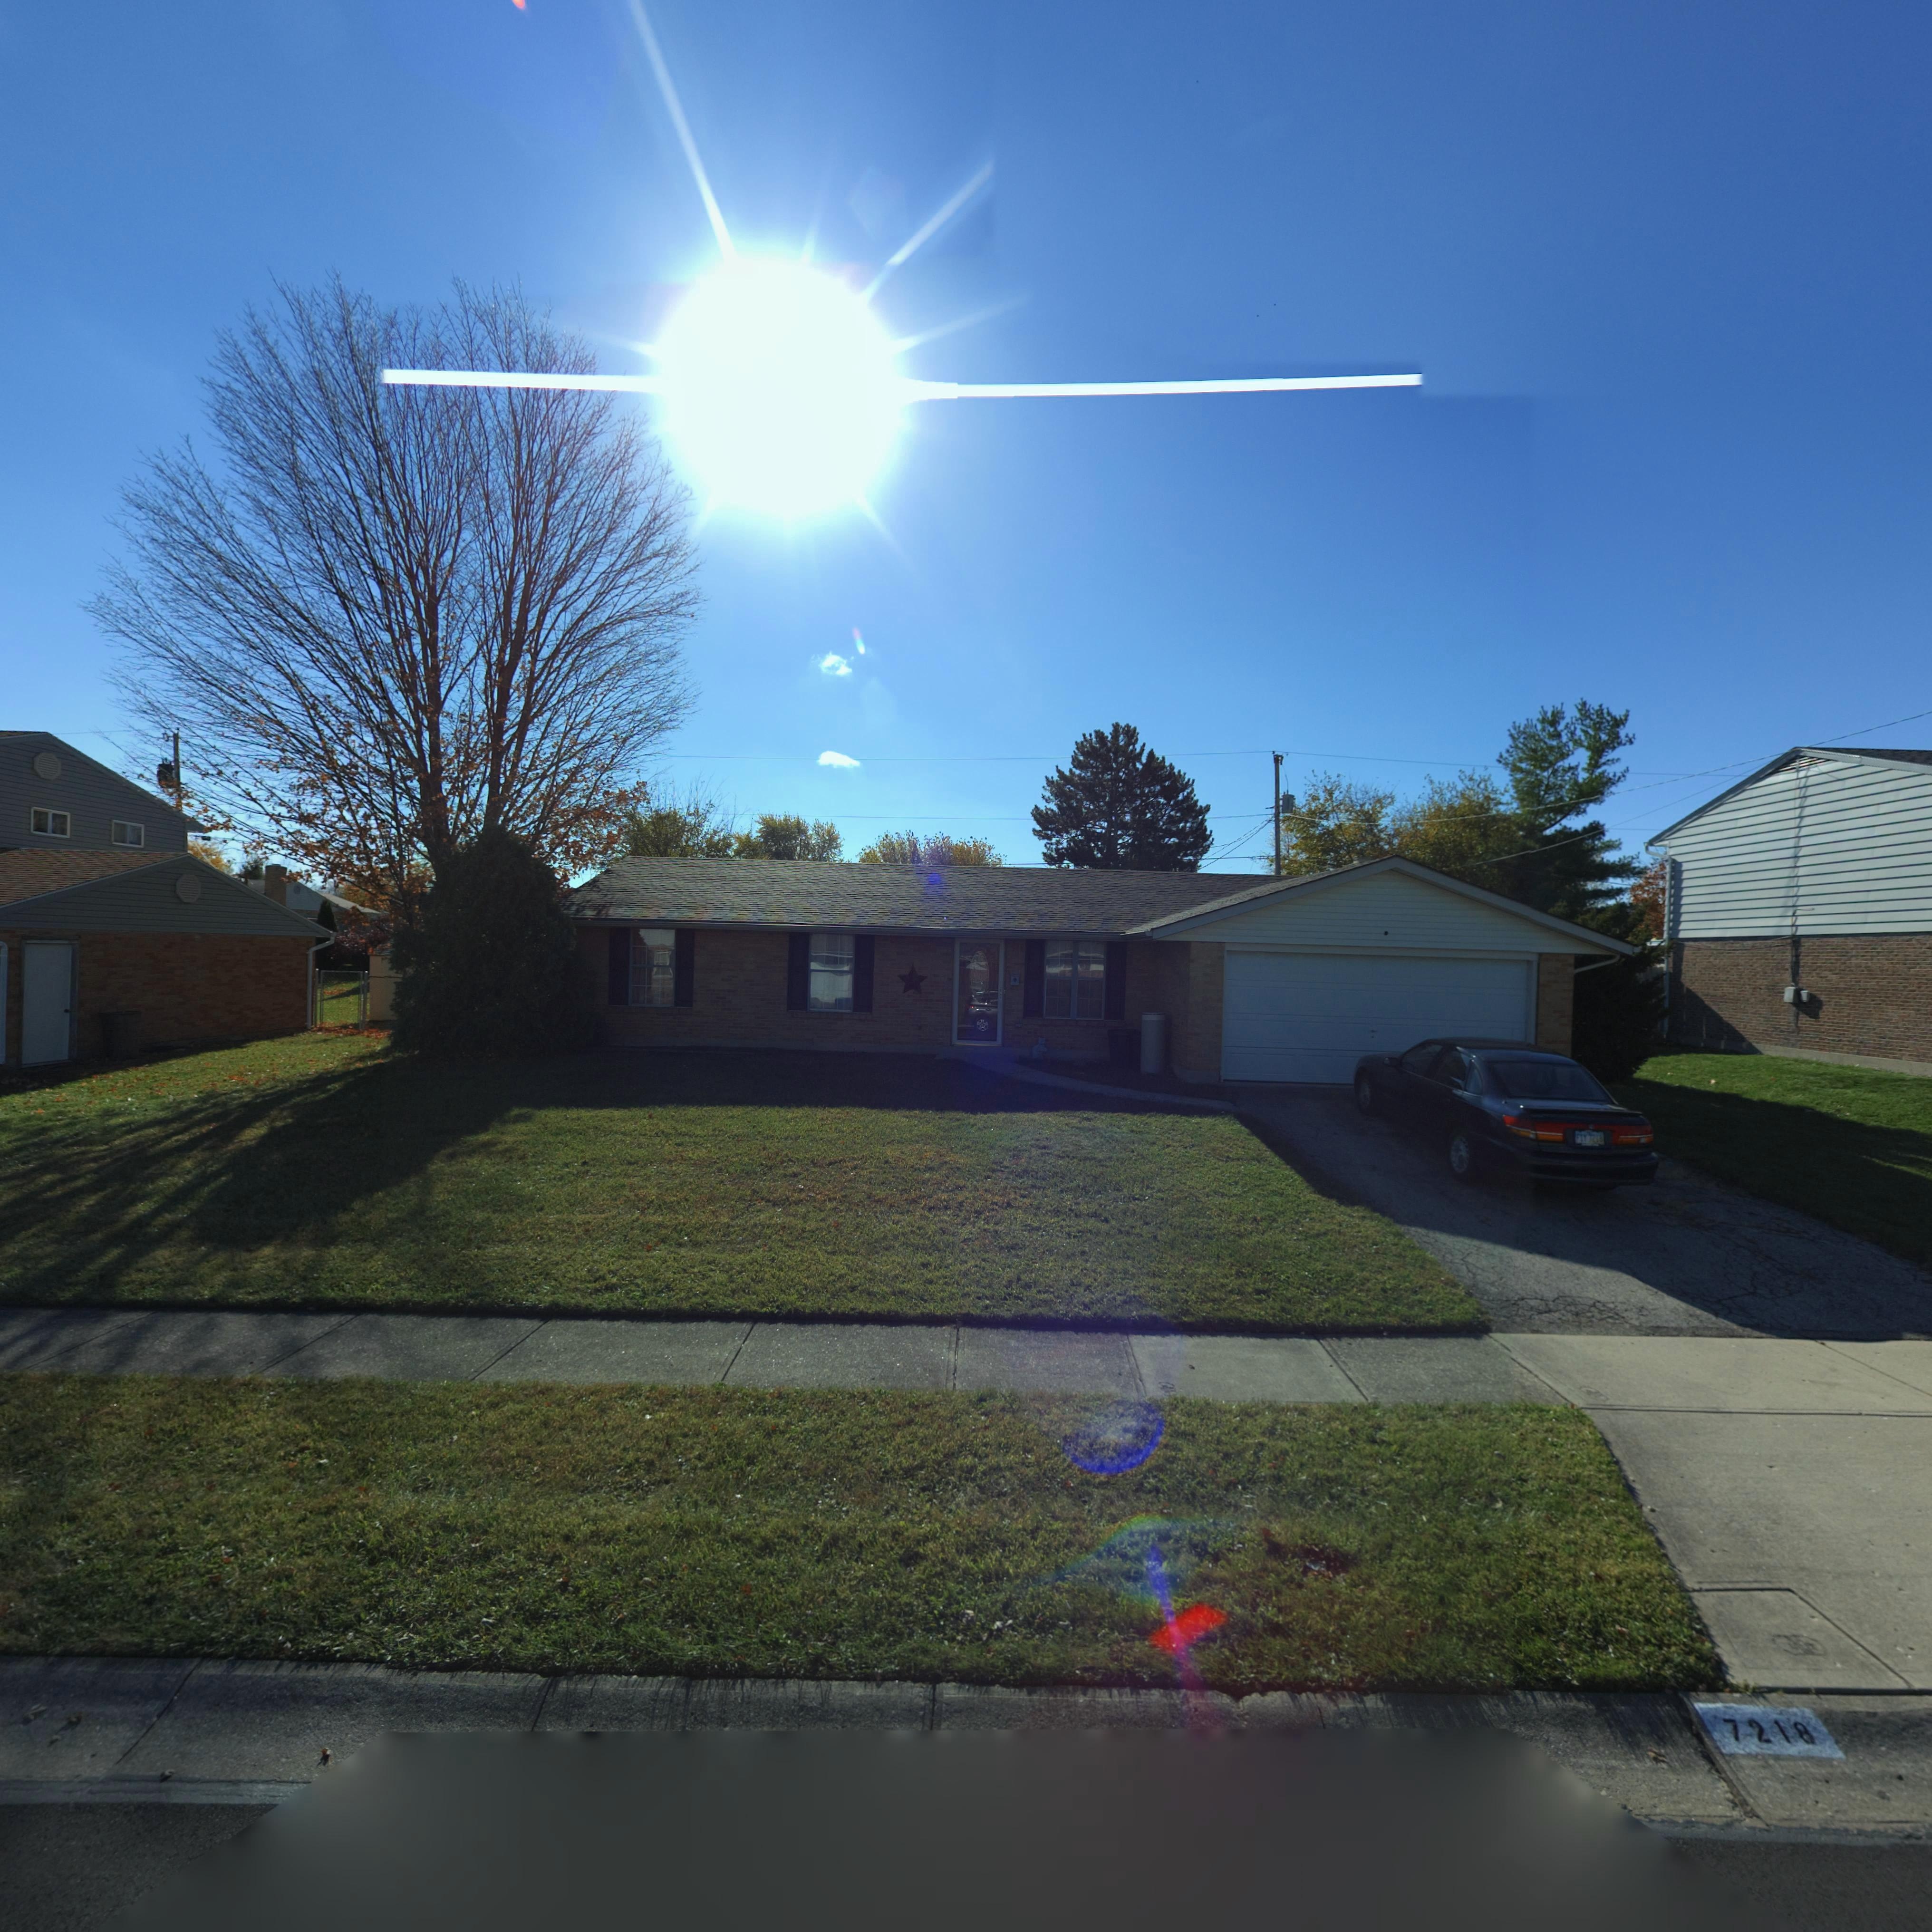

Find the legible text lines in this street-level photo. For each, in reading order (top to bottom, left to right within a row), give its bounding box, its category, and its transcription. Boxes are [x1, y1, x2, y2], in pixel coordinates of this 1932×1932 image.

[1719, 1716, 1821, 1747] StreetNumber: 7218